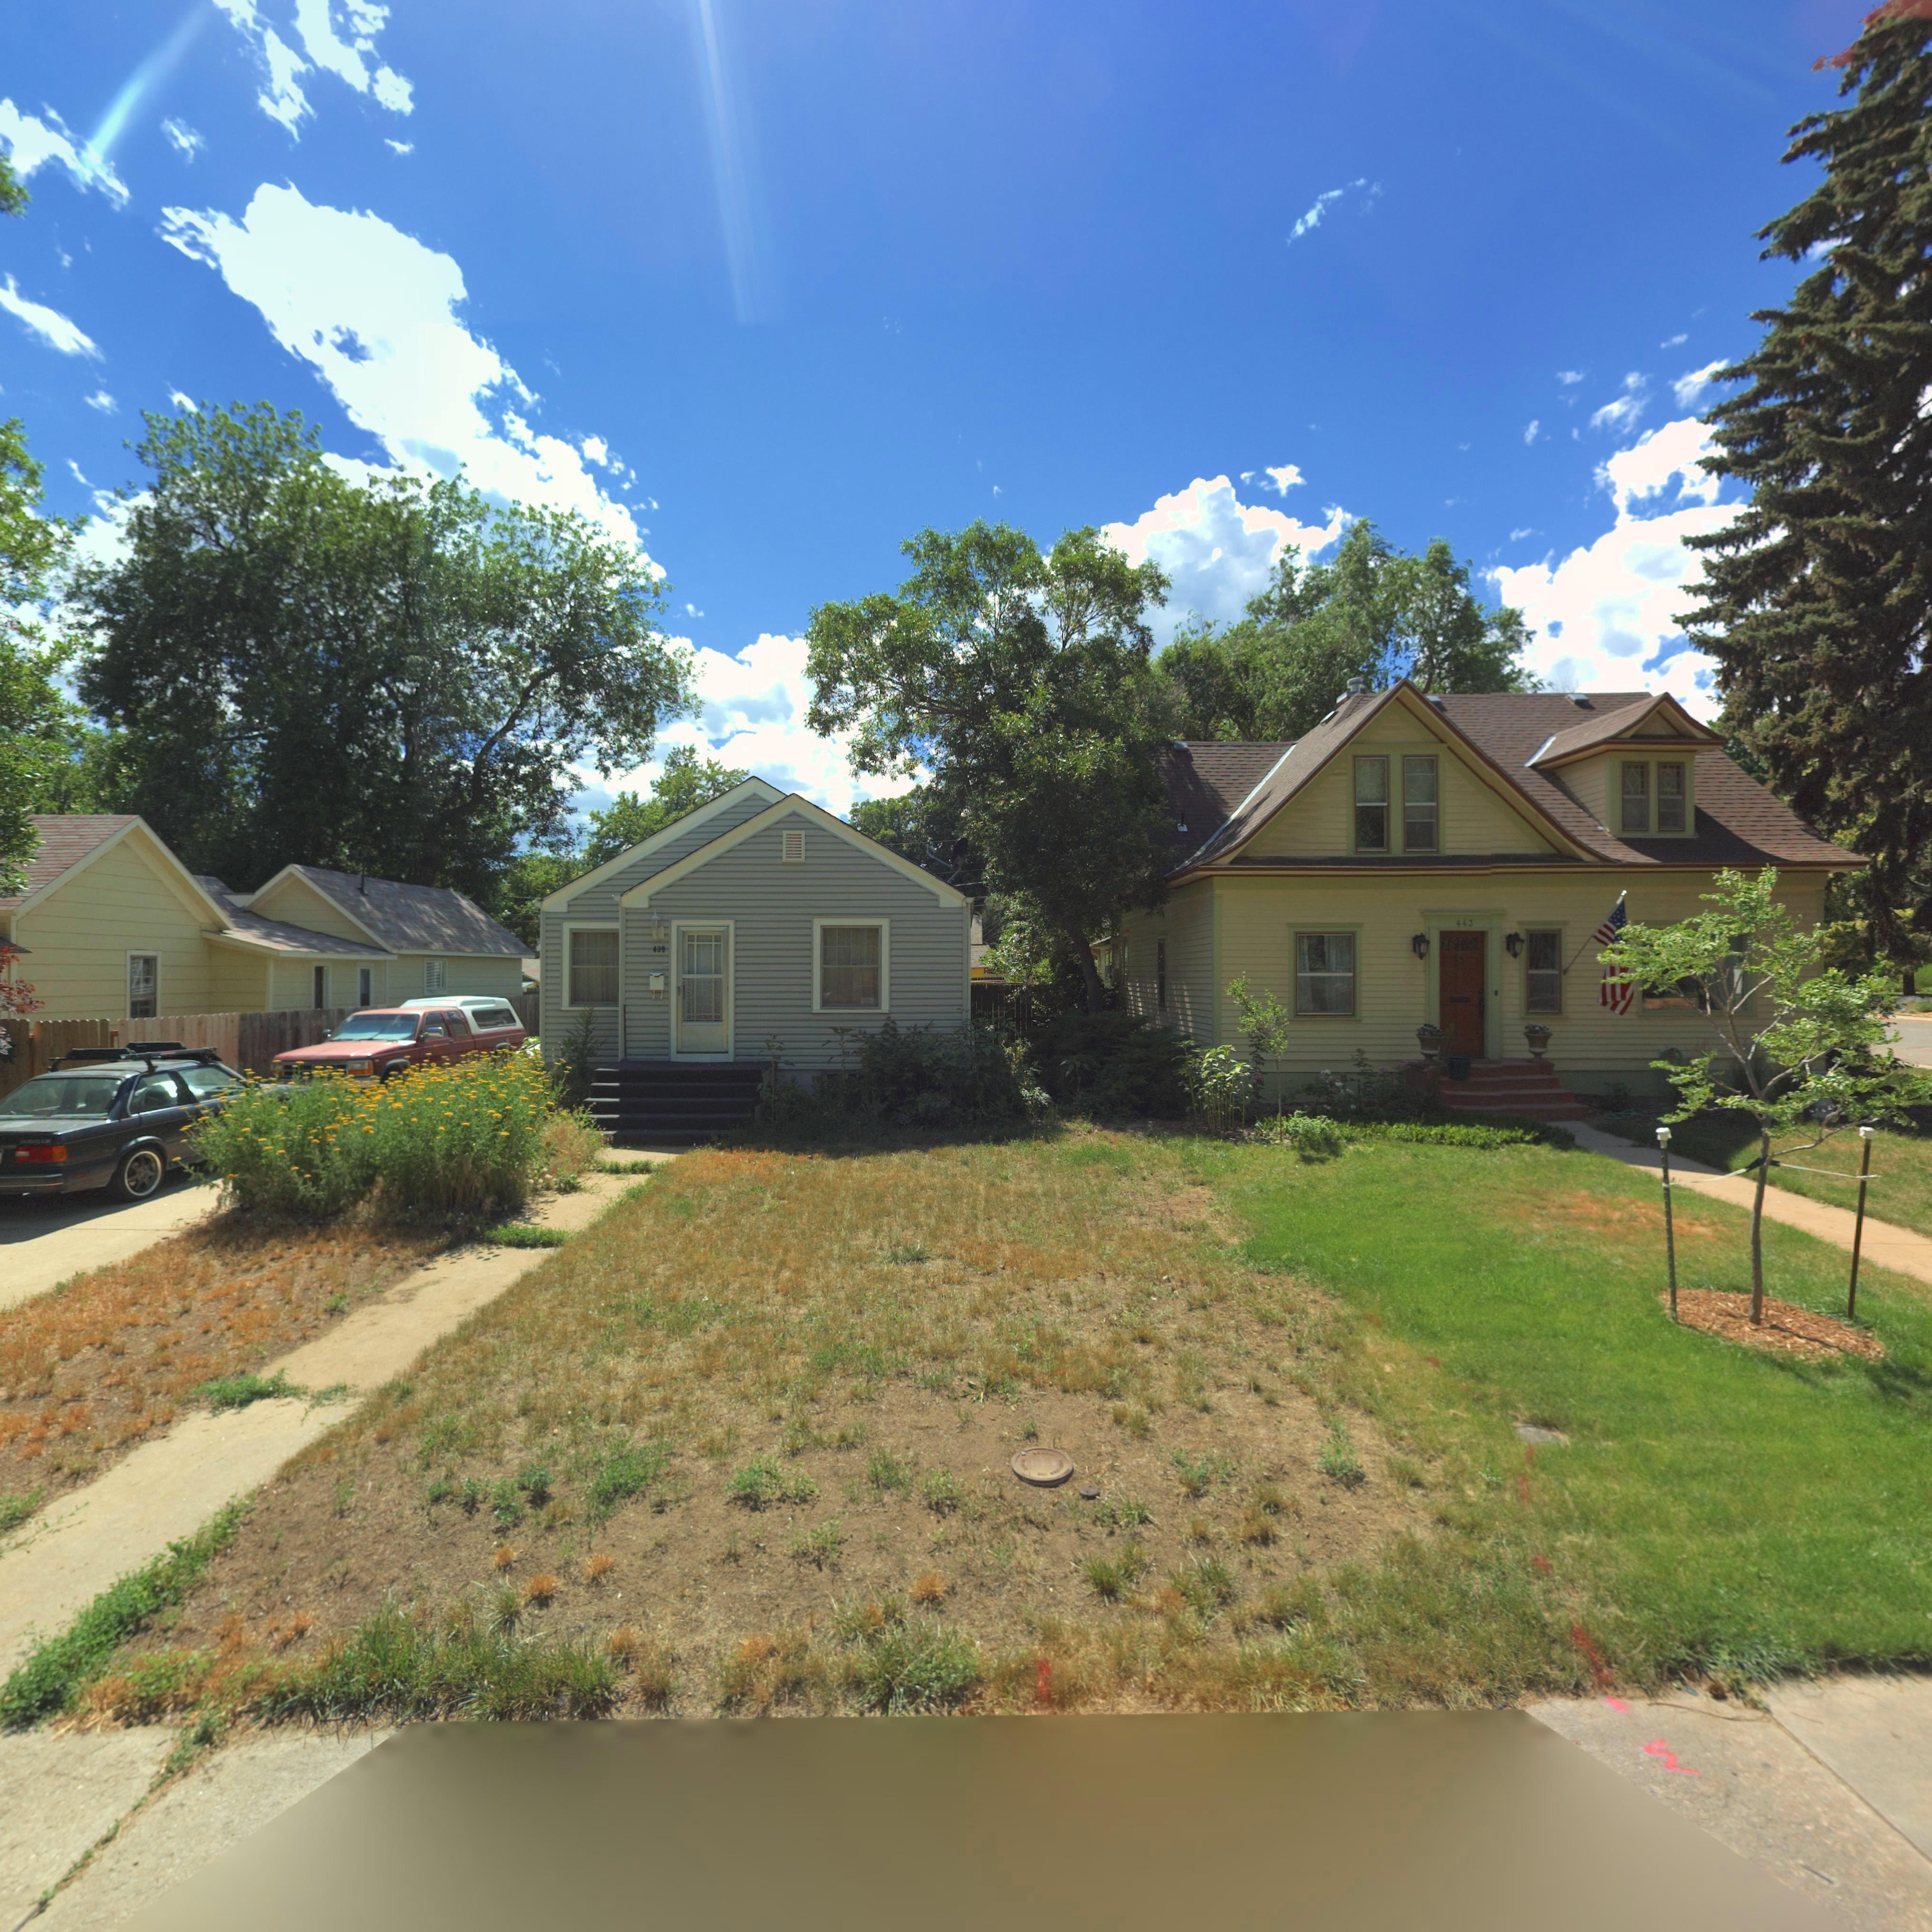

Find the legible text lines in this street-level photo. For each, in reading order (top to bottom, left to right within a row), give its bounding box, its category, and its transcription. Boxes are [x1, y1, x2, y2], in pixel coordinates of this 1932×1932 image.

[1455, 919, 1473, 927] StreetNumber: 443
[652, 945, 666, 953] StreetNumber: 439